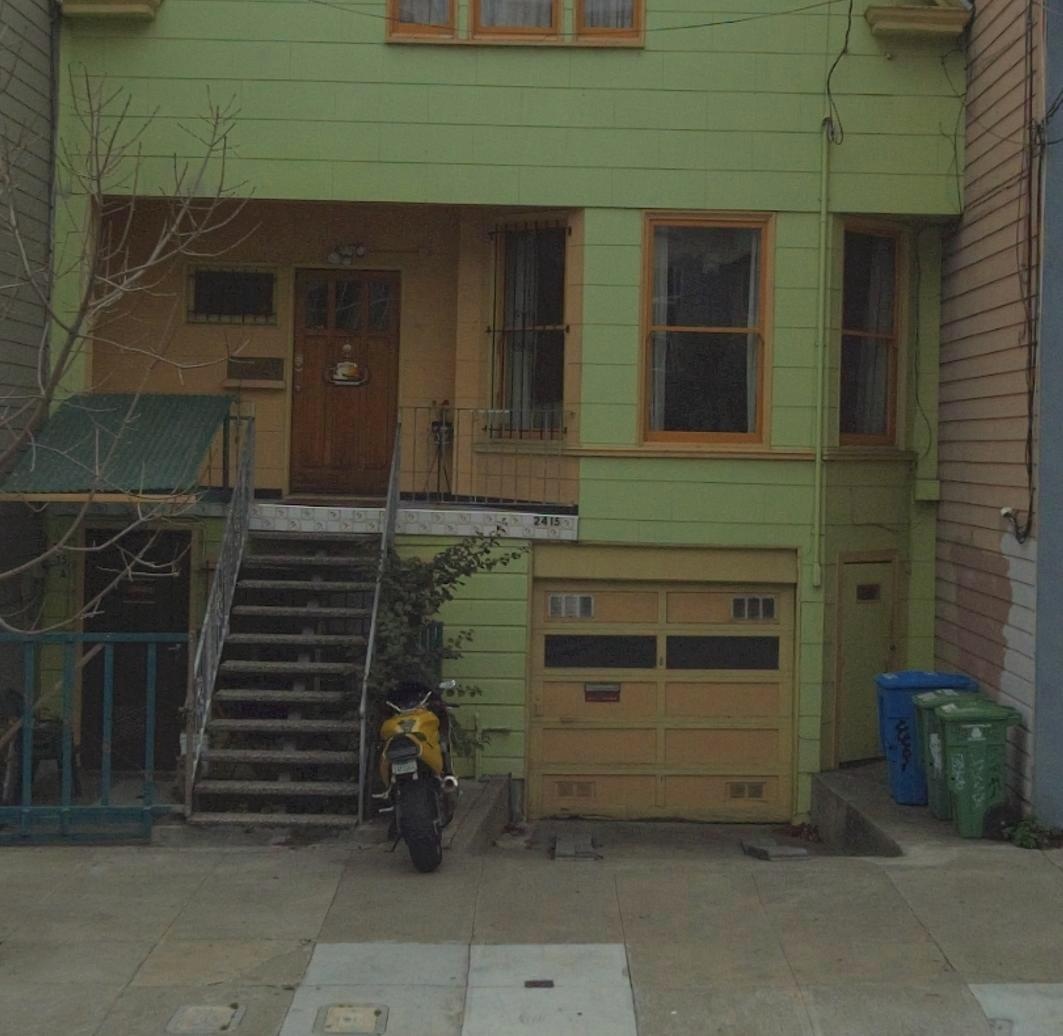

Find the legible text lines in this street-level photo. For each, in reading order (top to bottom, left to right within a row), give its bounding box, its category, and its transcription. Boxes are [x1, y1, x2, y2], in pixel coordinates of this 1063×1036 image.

[533, 516, 561, 527] StreetNumber: 2415
[54, 554, 68, 566] StreetNumber: 15
[57, 568, 69, 579] StreetNumber: A